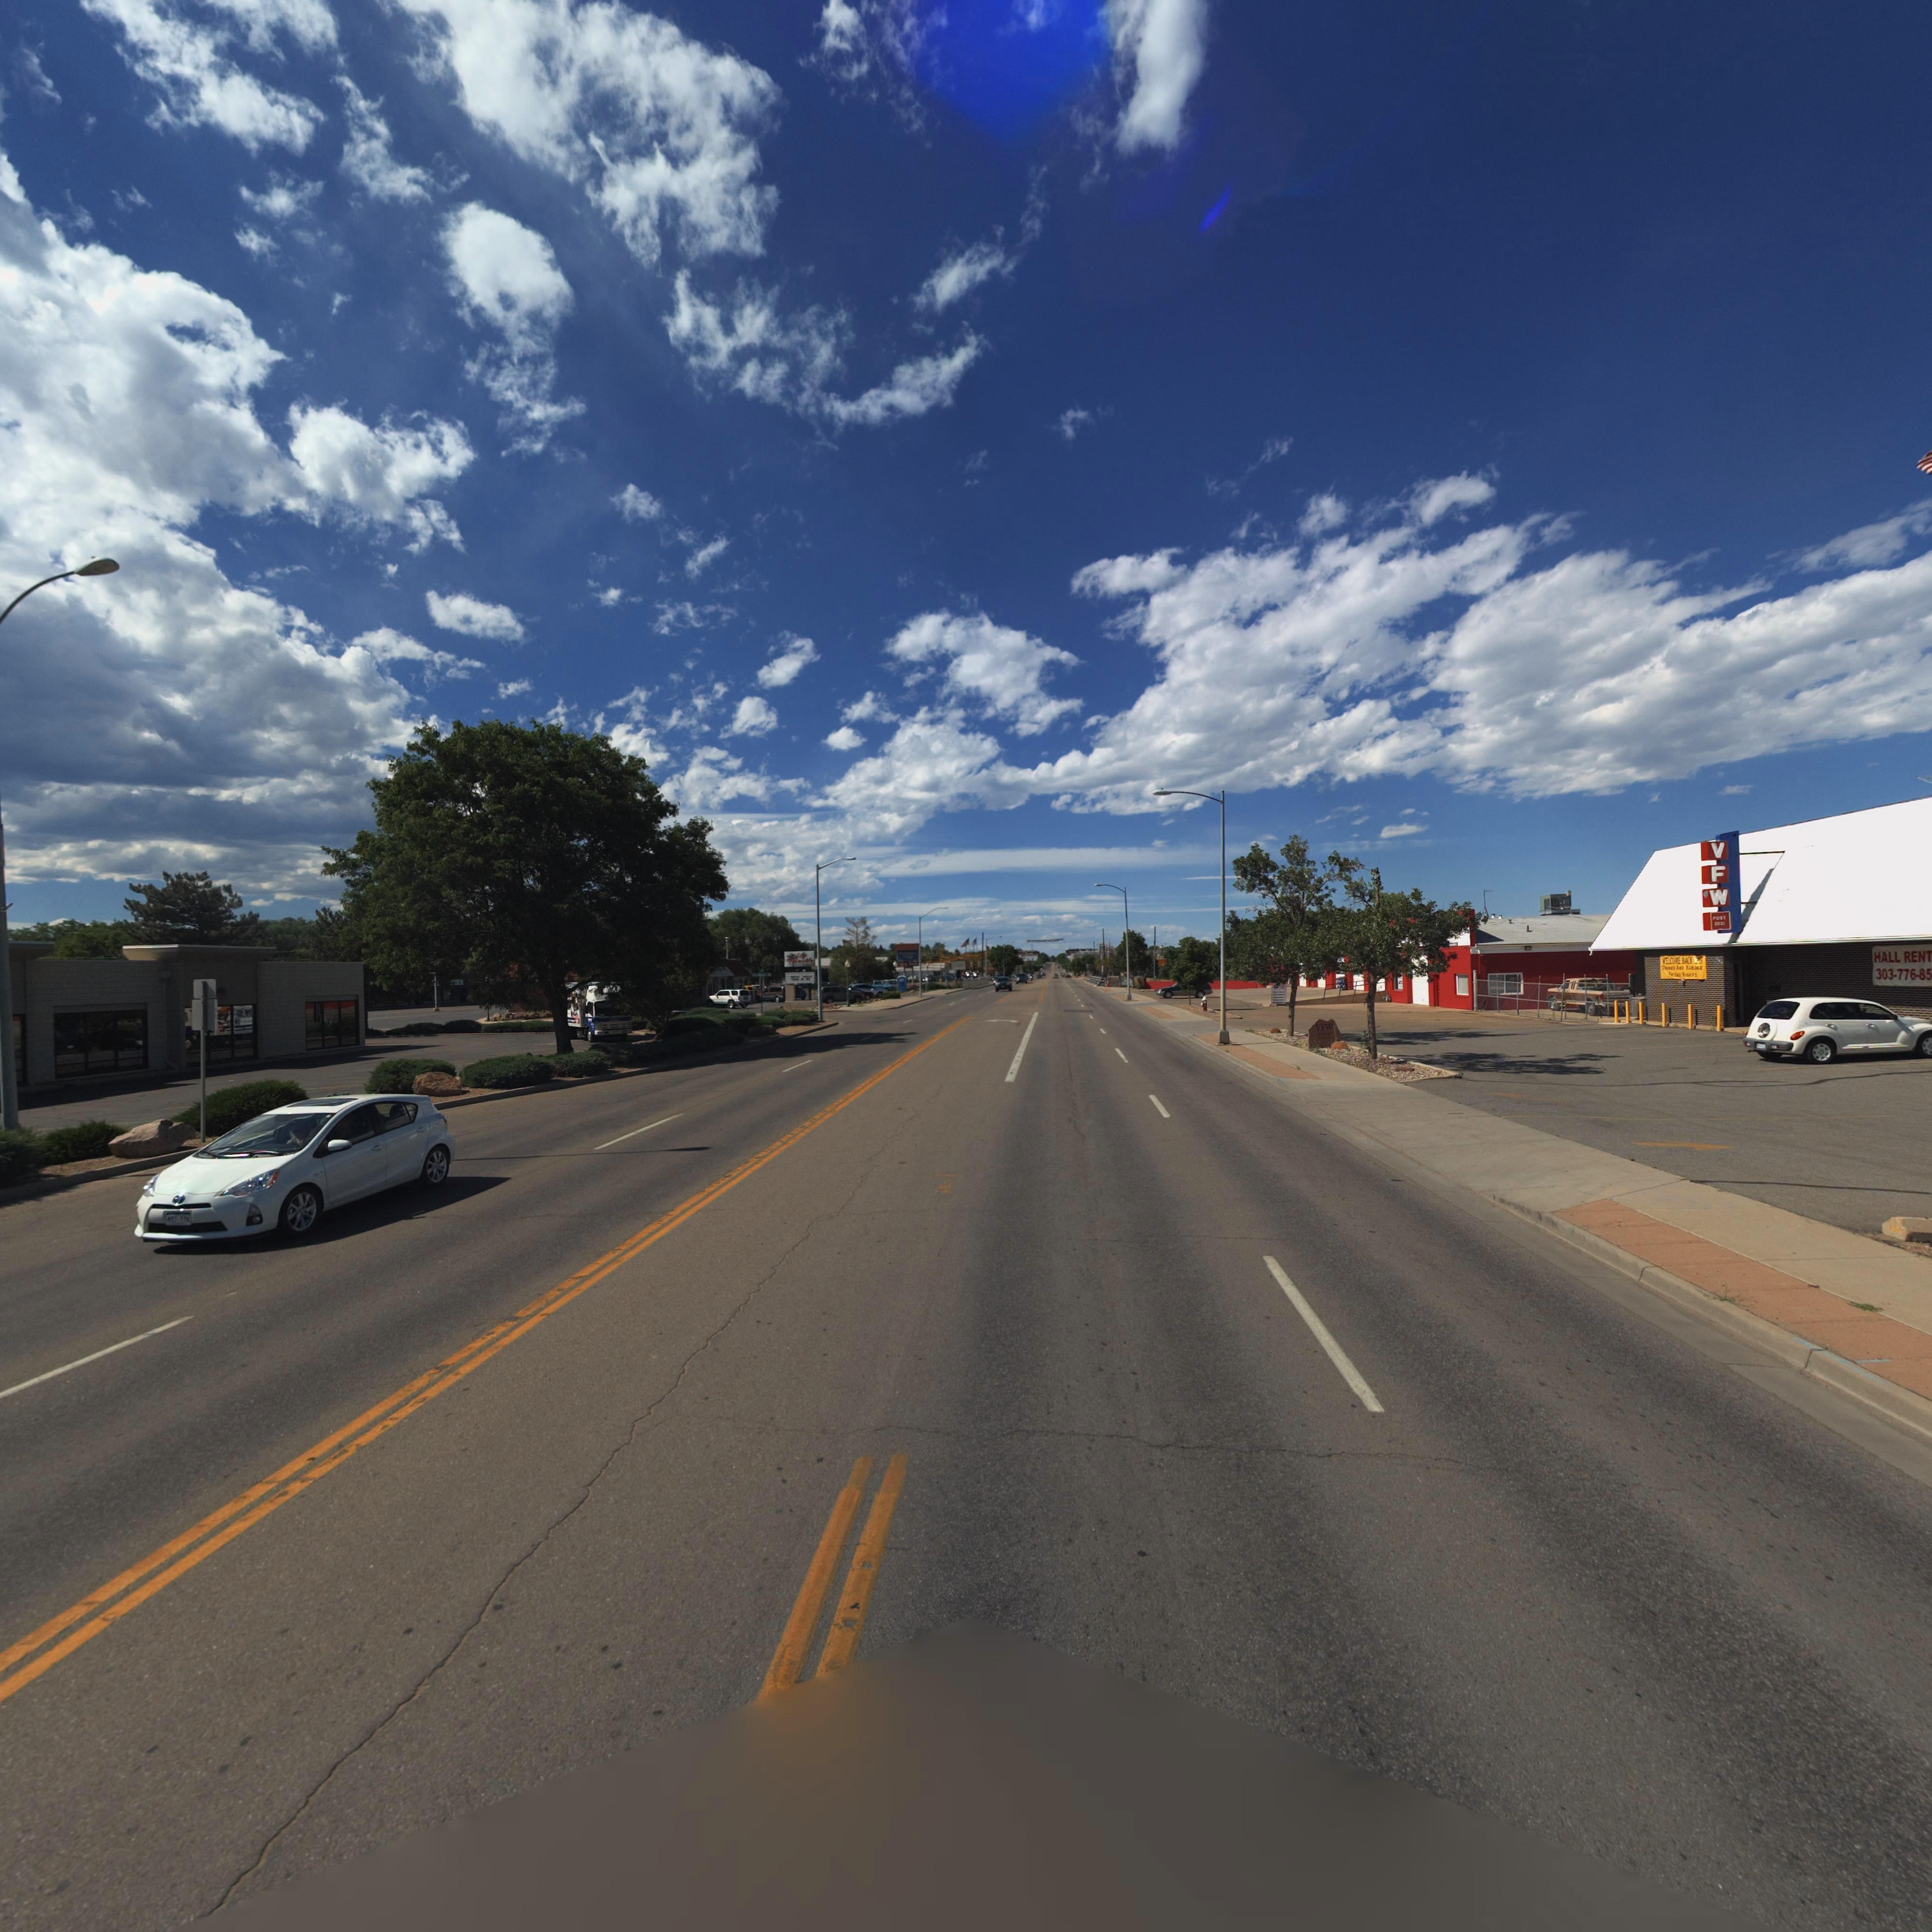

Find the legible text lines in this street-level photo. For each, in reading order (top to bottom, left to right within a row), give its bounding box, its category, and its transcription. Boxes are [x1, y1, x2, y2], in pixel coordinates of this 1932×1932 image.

[1709, 842, 1728, 905] BusinessName: VFW
[796, 952, 805, 958] BusinessName: L*
[788, 957, 813, 964] BusinessName: P*******
[1315, 1023, 1333, 1031] BusinessName: VFW